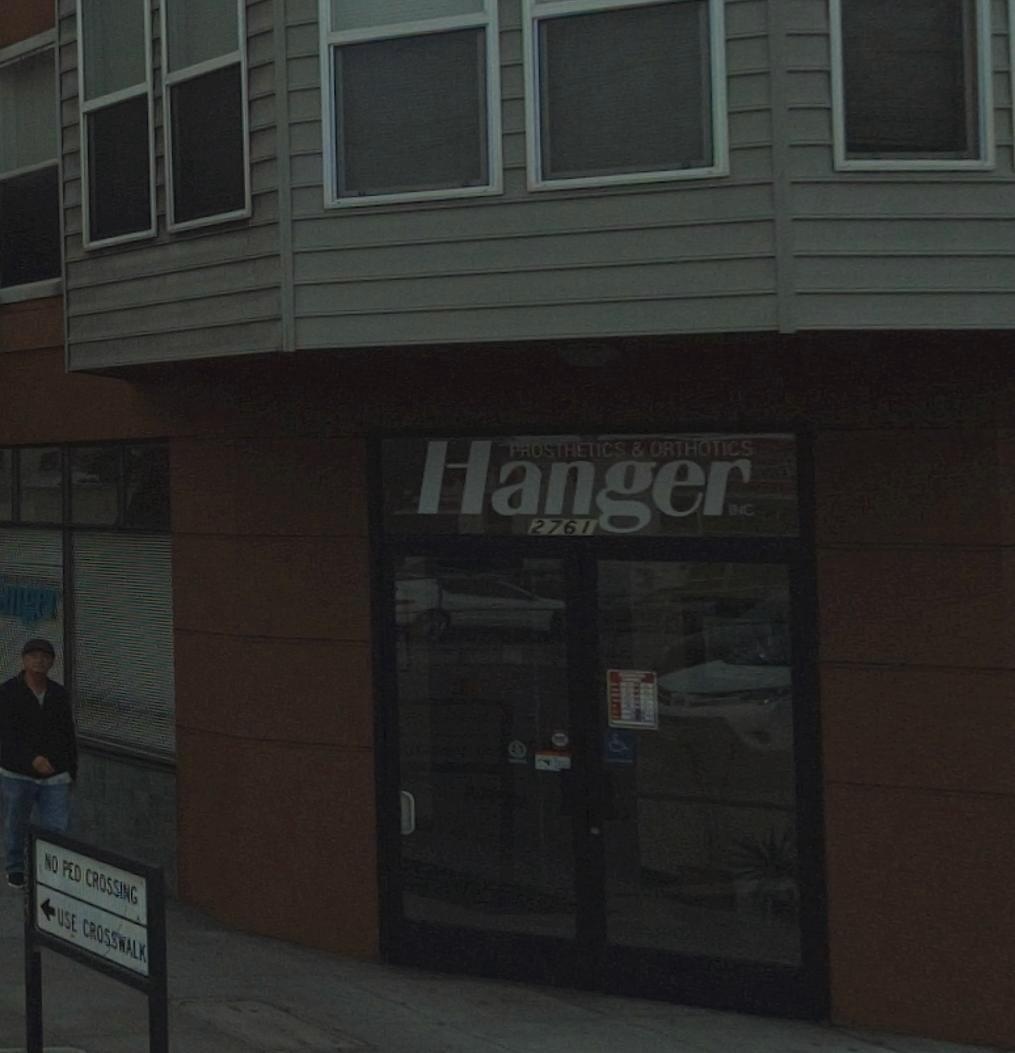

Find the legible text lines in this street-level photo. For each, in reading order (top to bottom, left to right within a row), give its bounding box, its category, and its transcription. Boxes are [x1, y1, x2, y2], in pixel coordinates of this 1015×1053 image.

[415, 439, 493, 516] BusinessName: H
[527, 519, 596, 535] StreetNumber: 2761
[490, 458, 753, 535] BusinessName: anger
[508, 440, 753, 459] BusinessName: PROSTHETICS & ORTHOTICS
[727, 503, 756, 517] BusinessName: INC
[43, 851, 138, 907] None: NO PED CROSSING
[56, 906, 147, 965] None: USE CROSSWALK